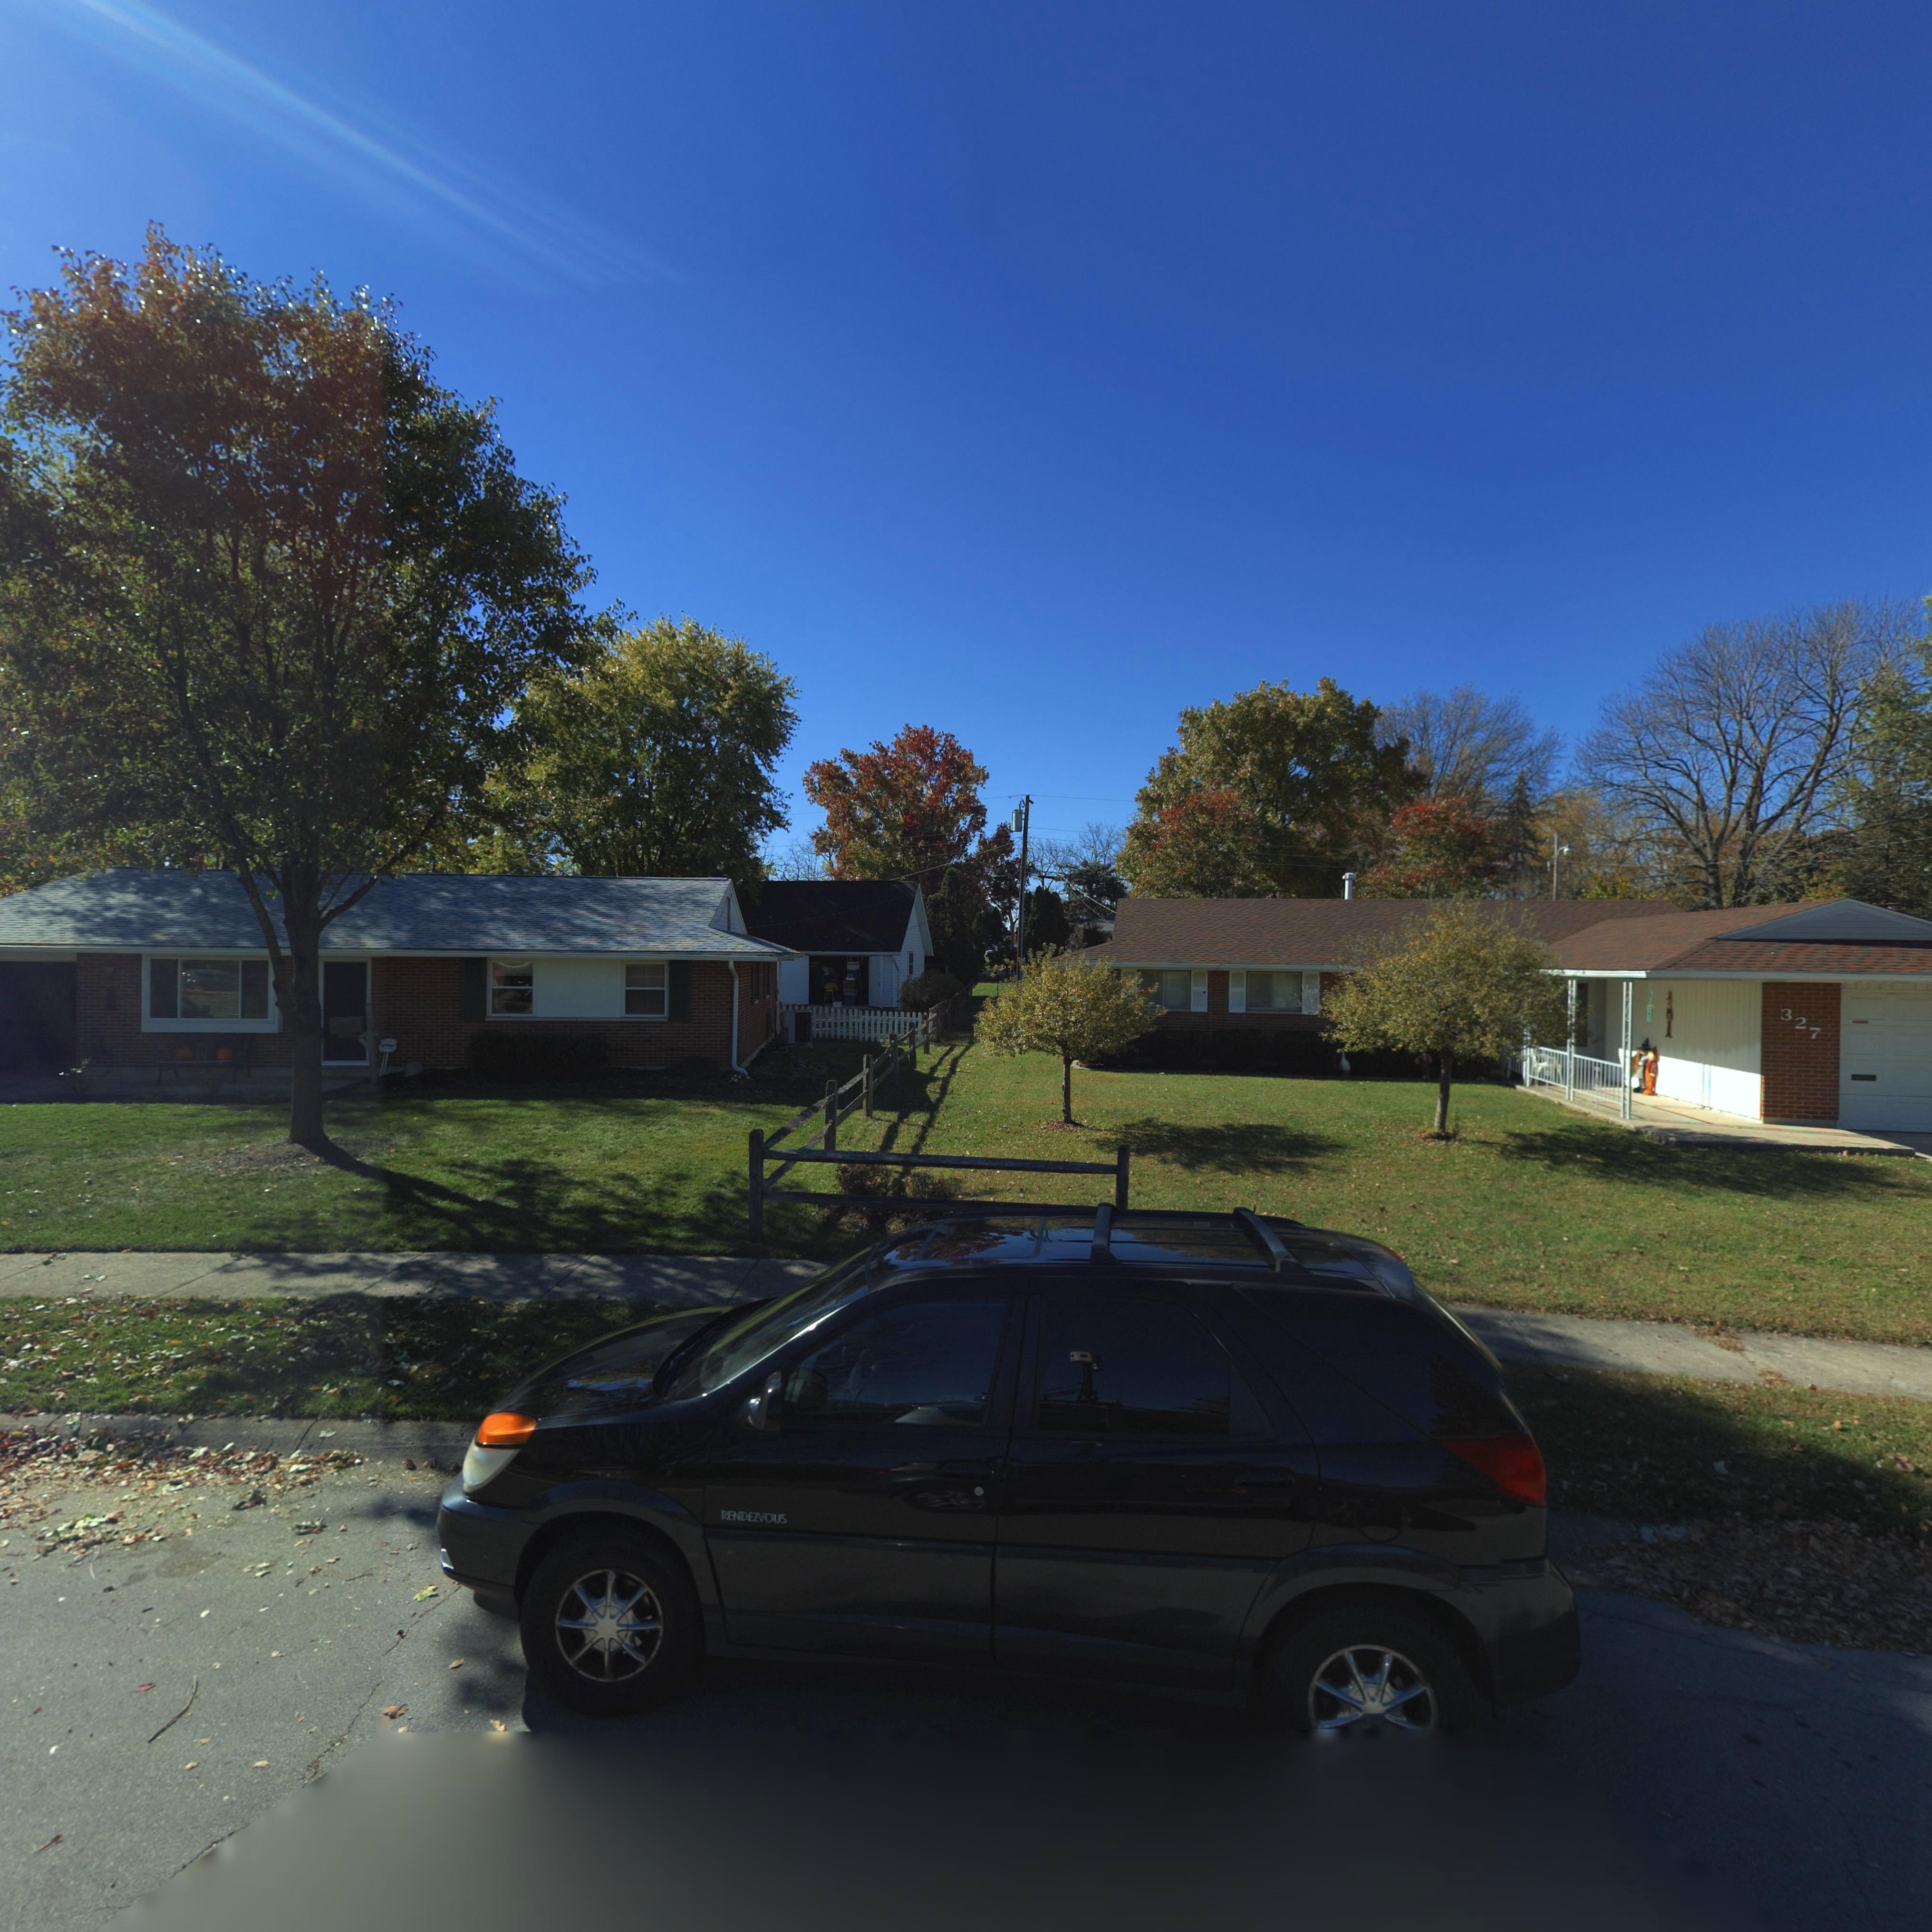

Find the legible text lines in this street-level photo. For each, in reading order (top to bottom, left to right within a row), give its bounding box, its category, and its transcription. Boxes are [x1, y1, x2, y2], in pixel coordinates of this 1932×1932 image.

[1778, 1007, 1822, 1041] StreetNumber: 327